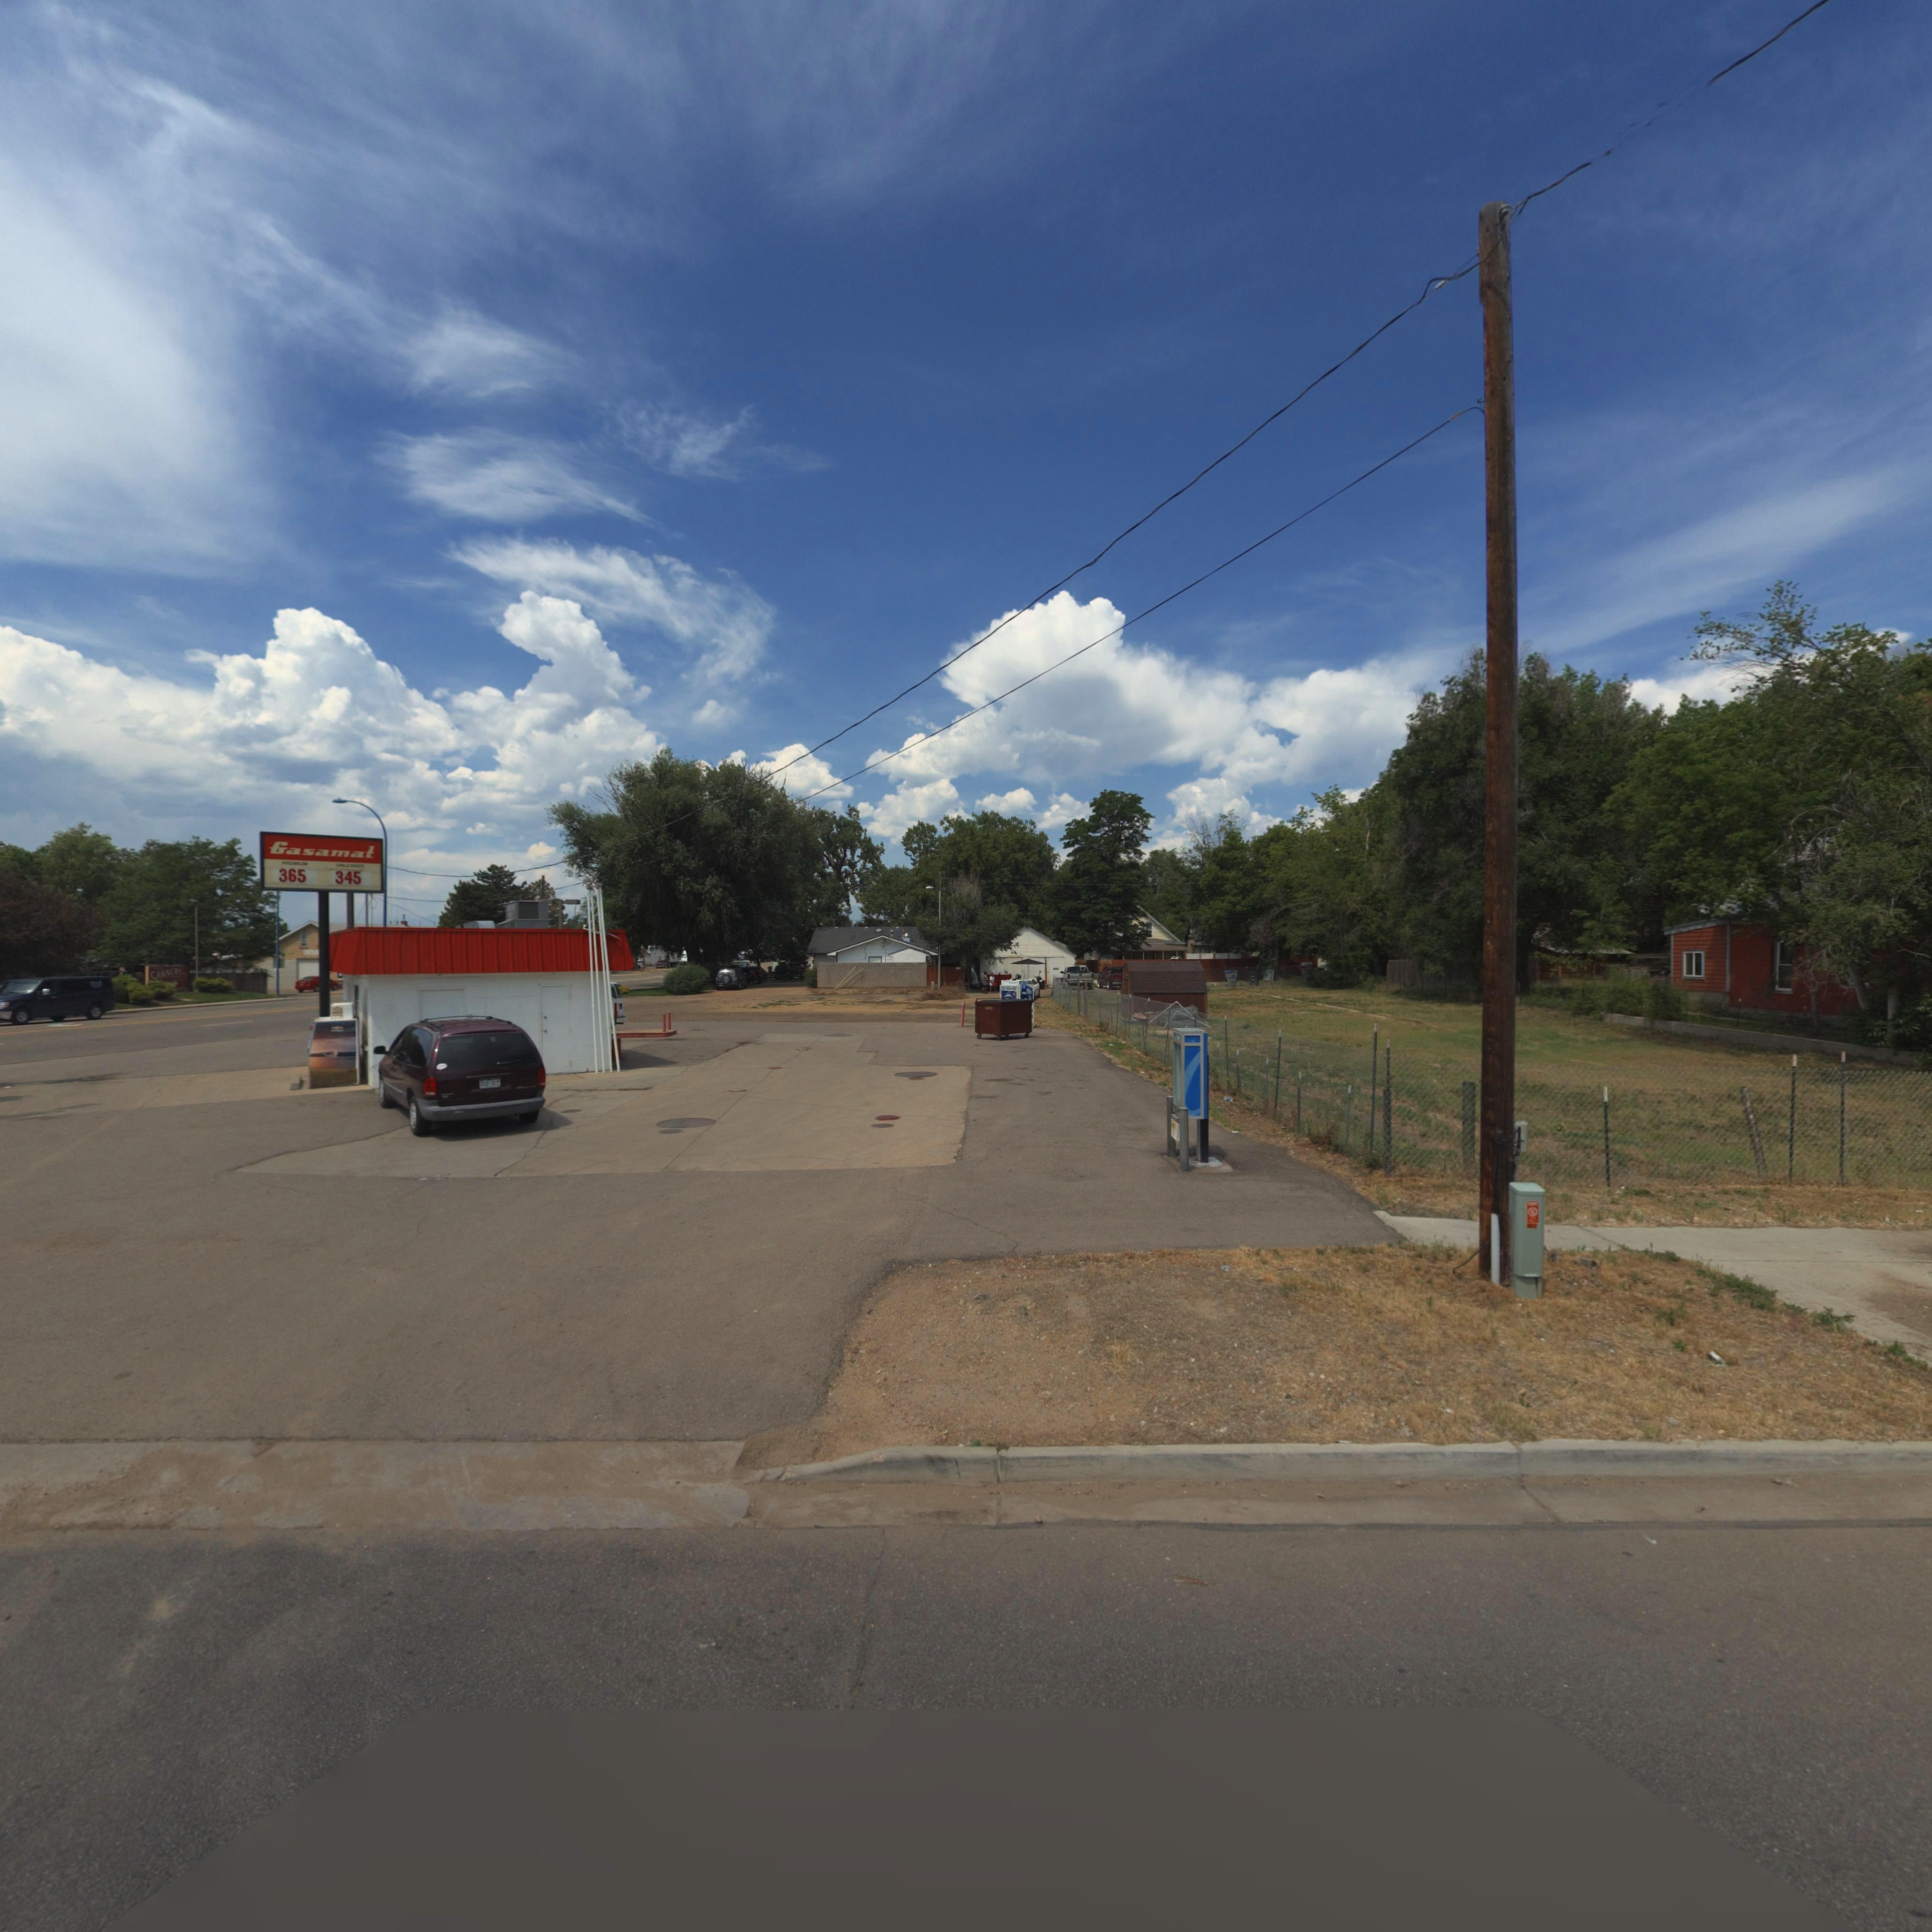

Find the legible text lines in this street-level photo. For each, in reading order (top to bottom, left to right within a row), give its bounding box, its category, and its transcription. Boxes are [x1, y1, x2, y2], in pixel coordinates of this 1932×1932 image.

[268, 840, 376, 859] BusinessName: Gasamat
[279, 869, 306, 883] StreetNumber: 365
[336, 869, 361, 885] StreetNumber: 345